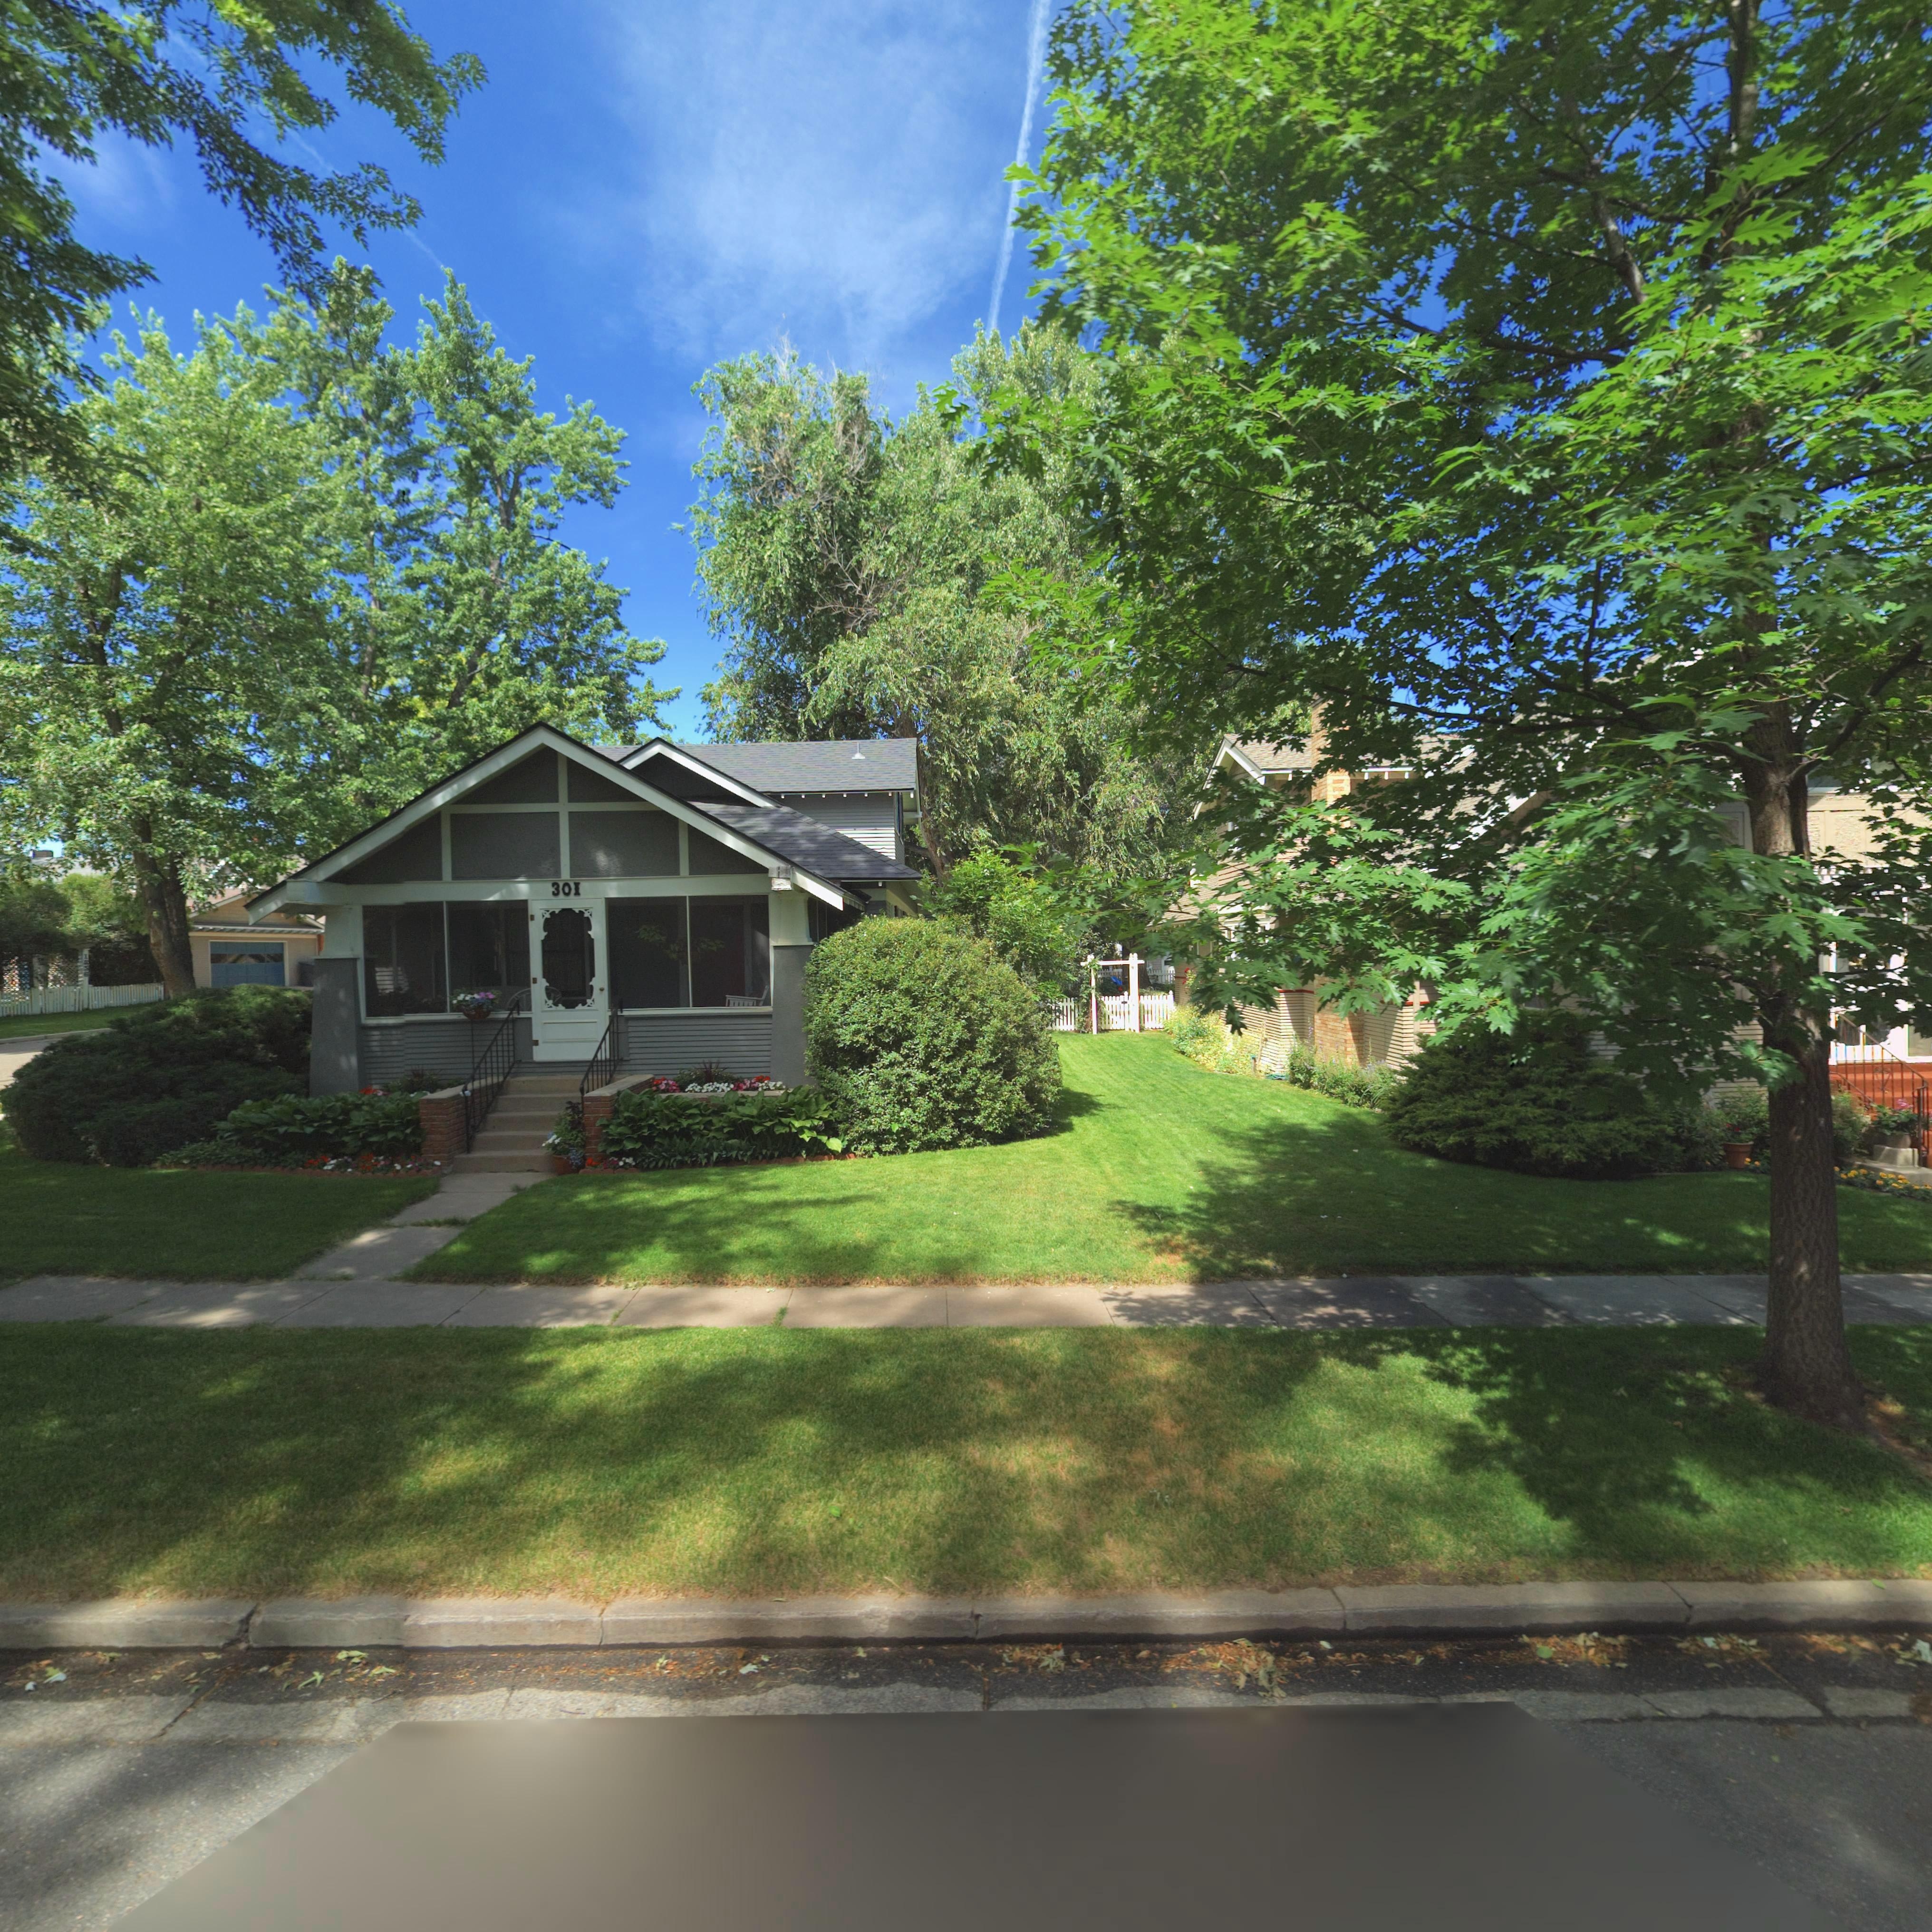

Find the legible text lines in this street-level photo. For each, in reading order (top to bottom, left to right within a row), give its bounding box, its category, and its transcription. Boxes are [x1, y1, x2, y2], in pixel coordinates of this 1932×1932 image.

[551, 881, 580, 896] StreetNumber: 30I